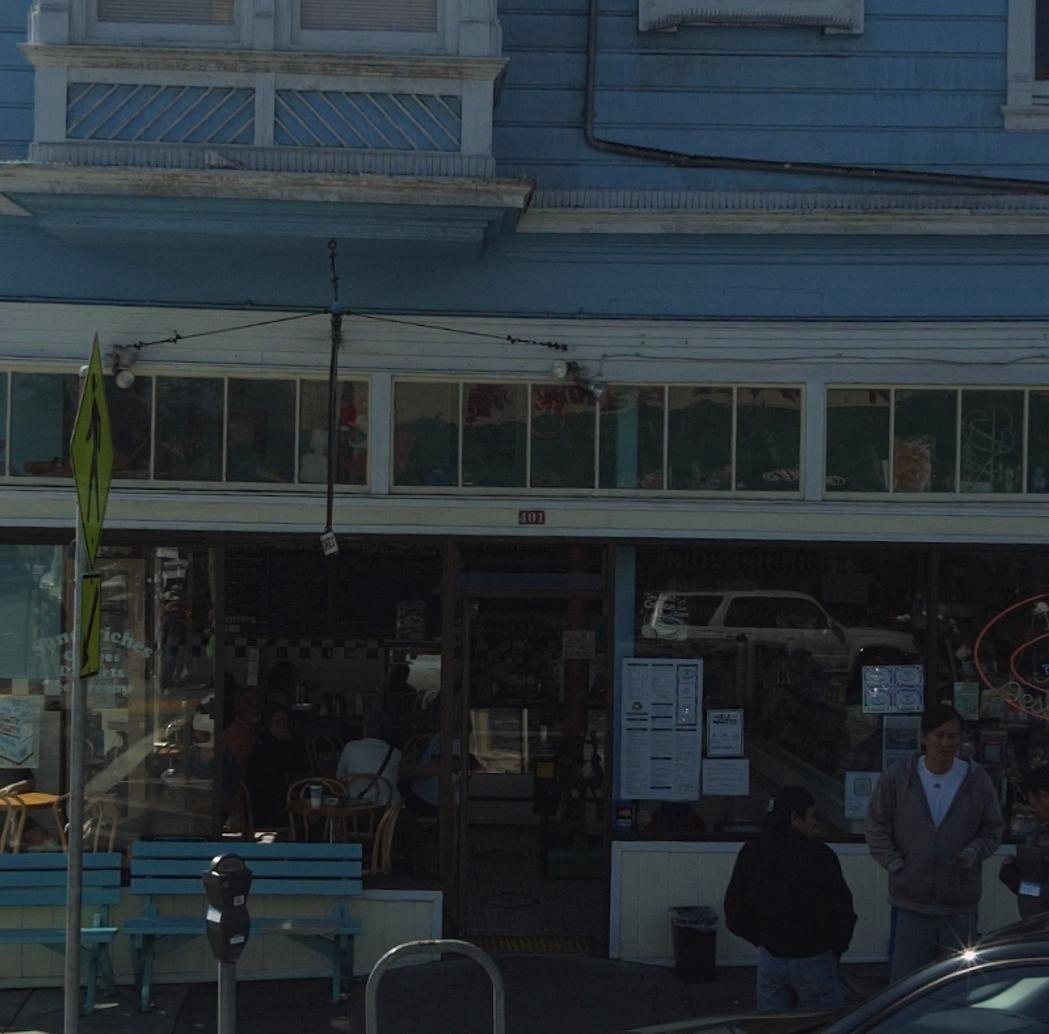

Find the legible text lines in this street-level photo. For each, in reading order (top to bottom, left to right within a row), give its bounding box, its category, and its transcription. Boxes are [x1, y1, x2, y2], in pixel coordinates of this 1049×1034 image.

[518, 510, 545, 525] StreetNumber: 401